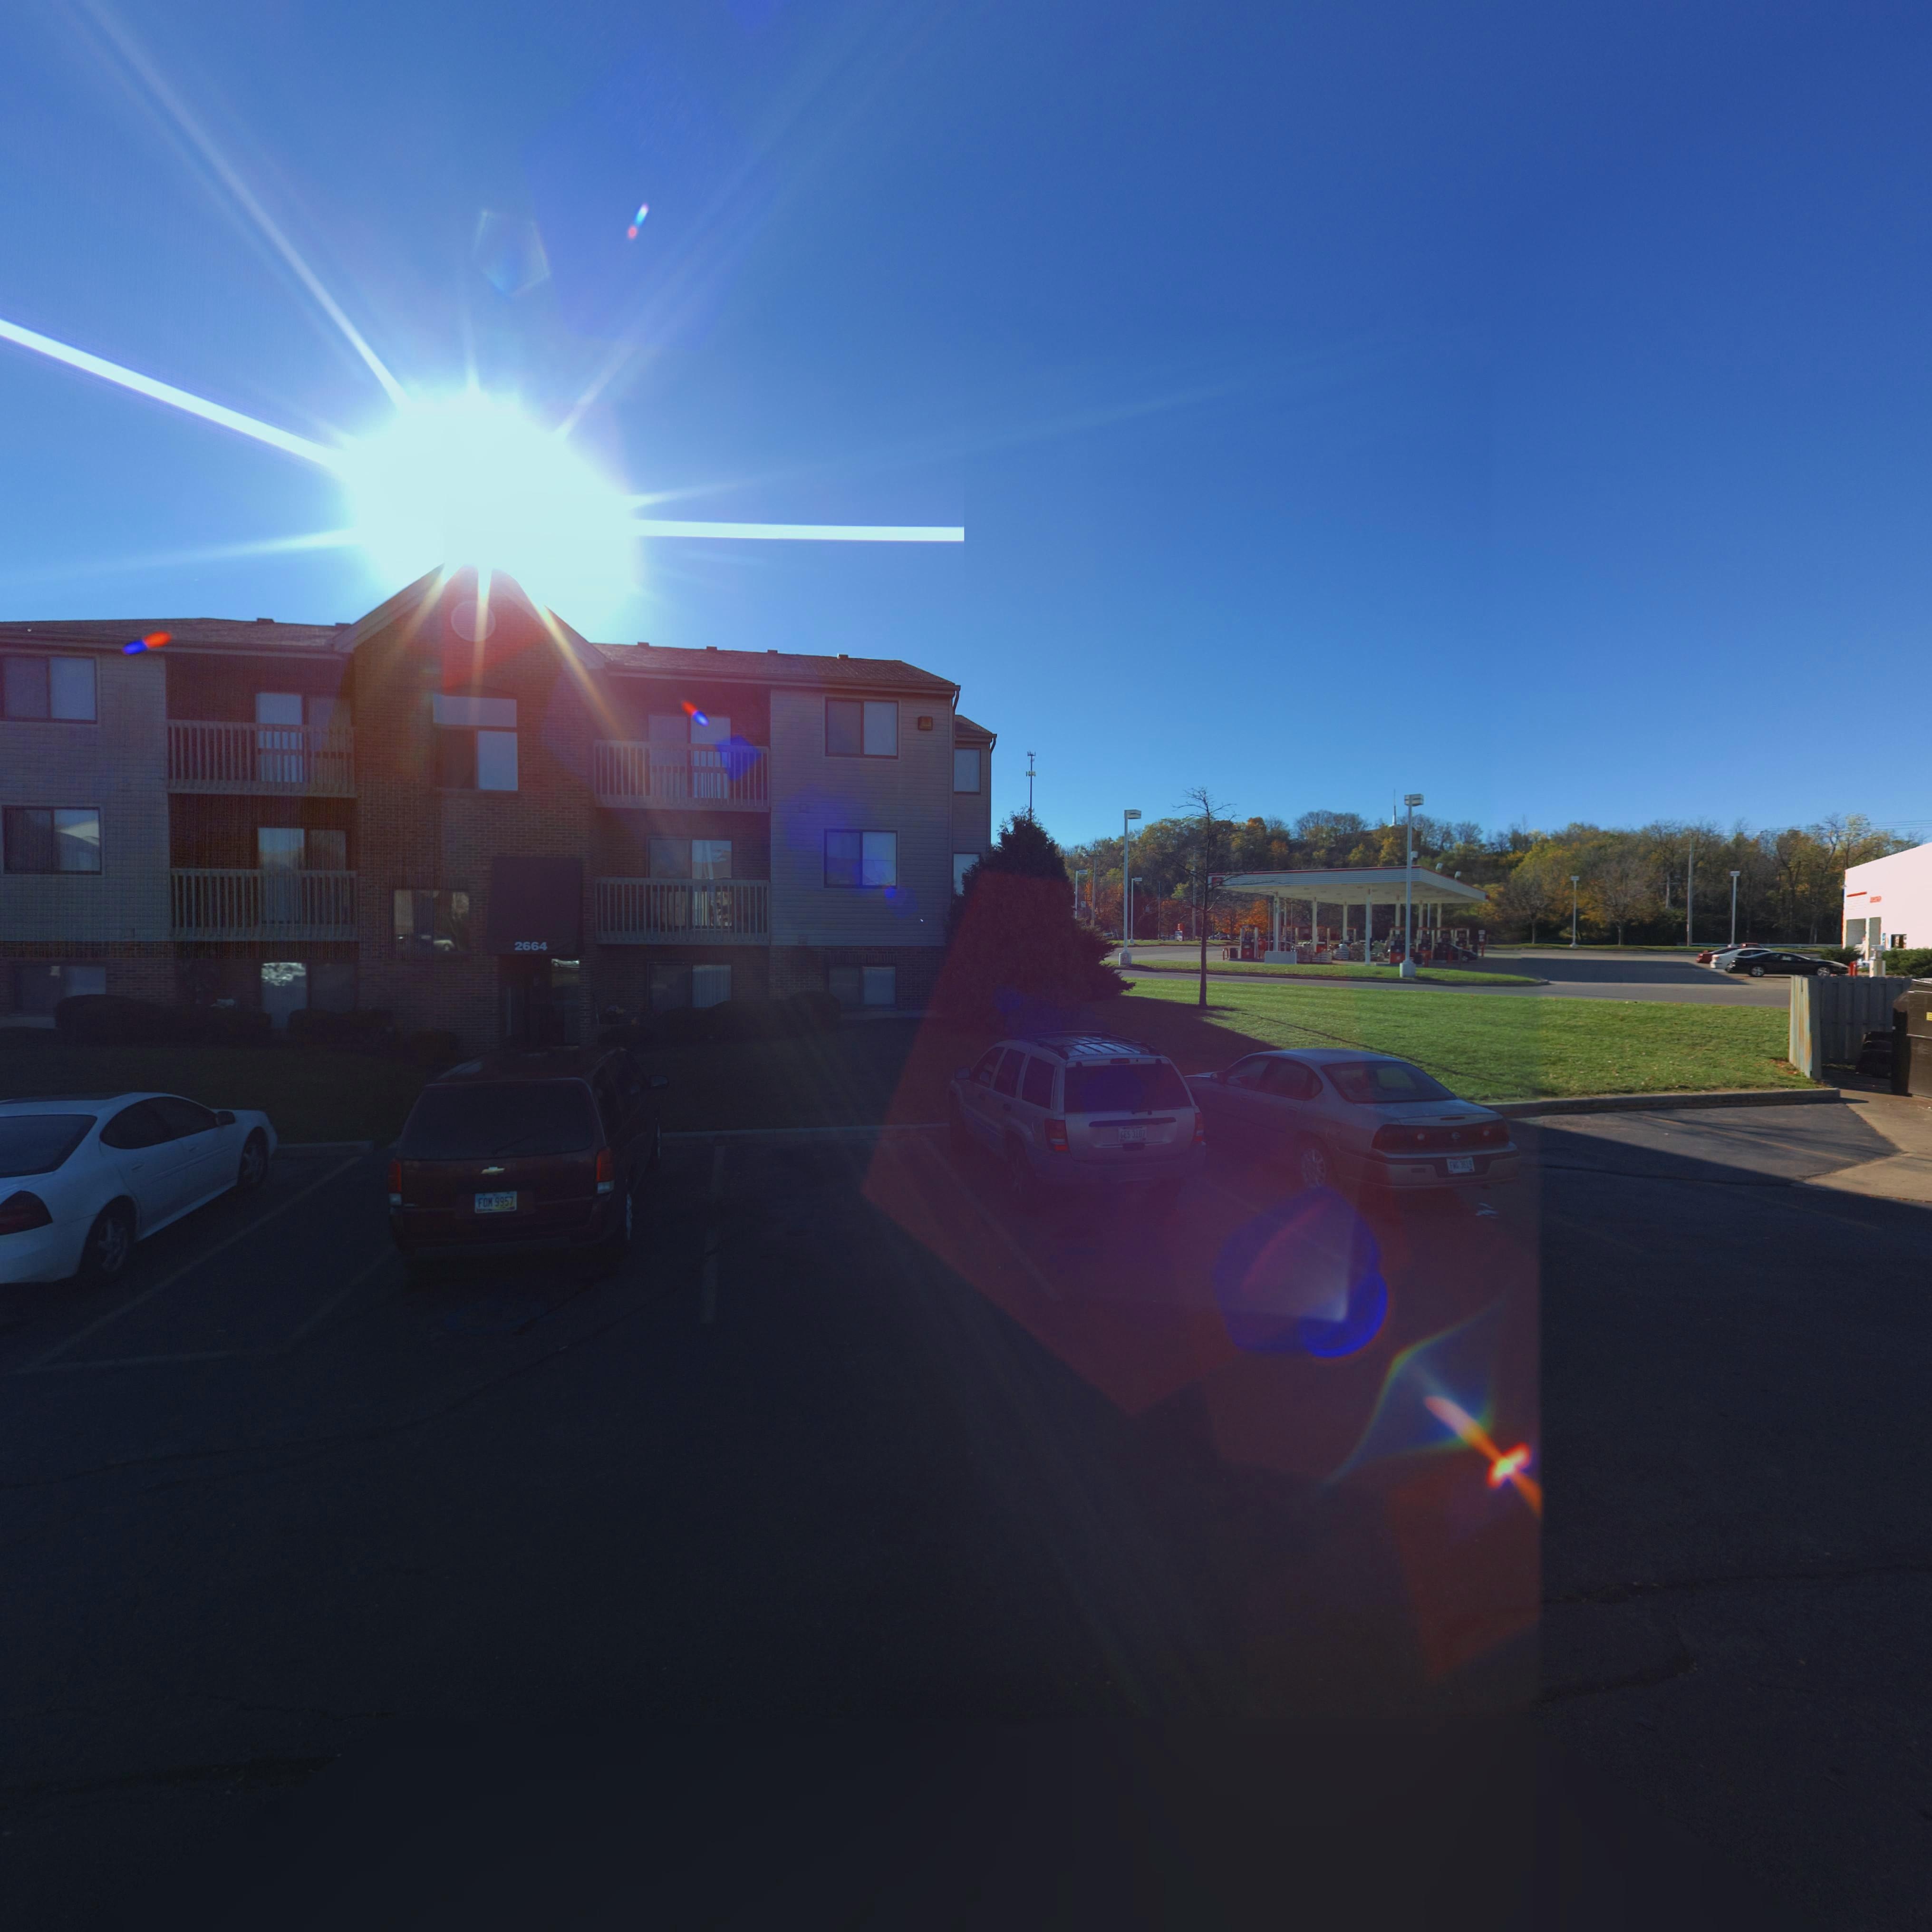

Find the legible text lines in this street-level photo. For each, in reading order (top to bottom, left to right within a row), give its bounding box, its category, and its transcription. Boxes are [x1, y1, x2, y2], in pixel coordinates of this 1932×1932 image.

[514, 941, 548, 951] StreetNumber: 2664